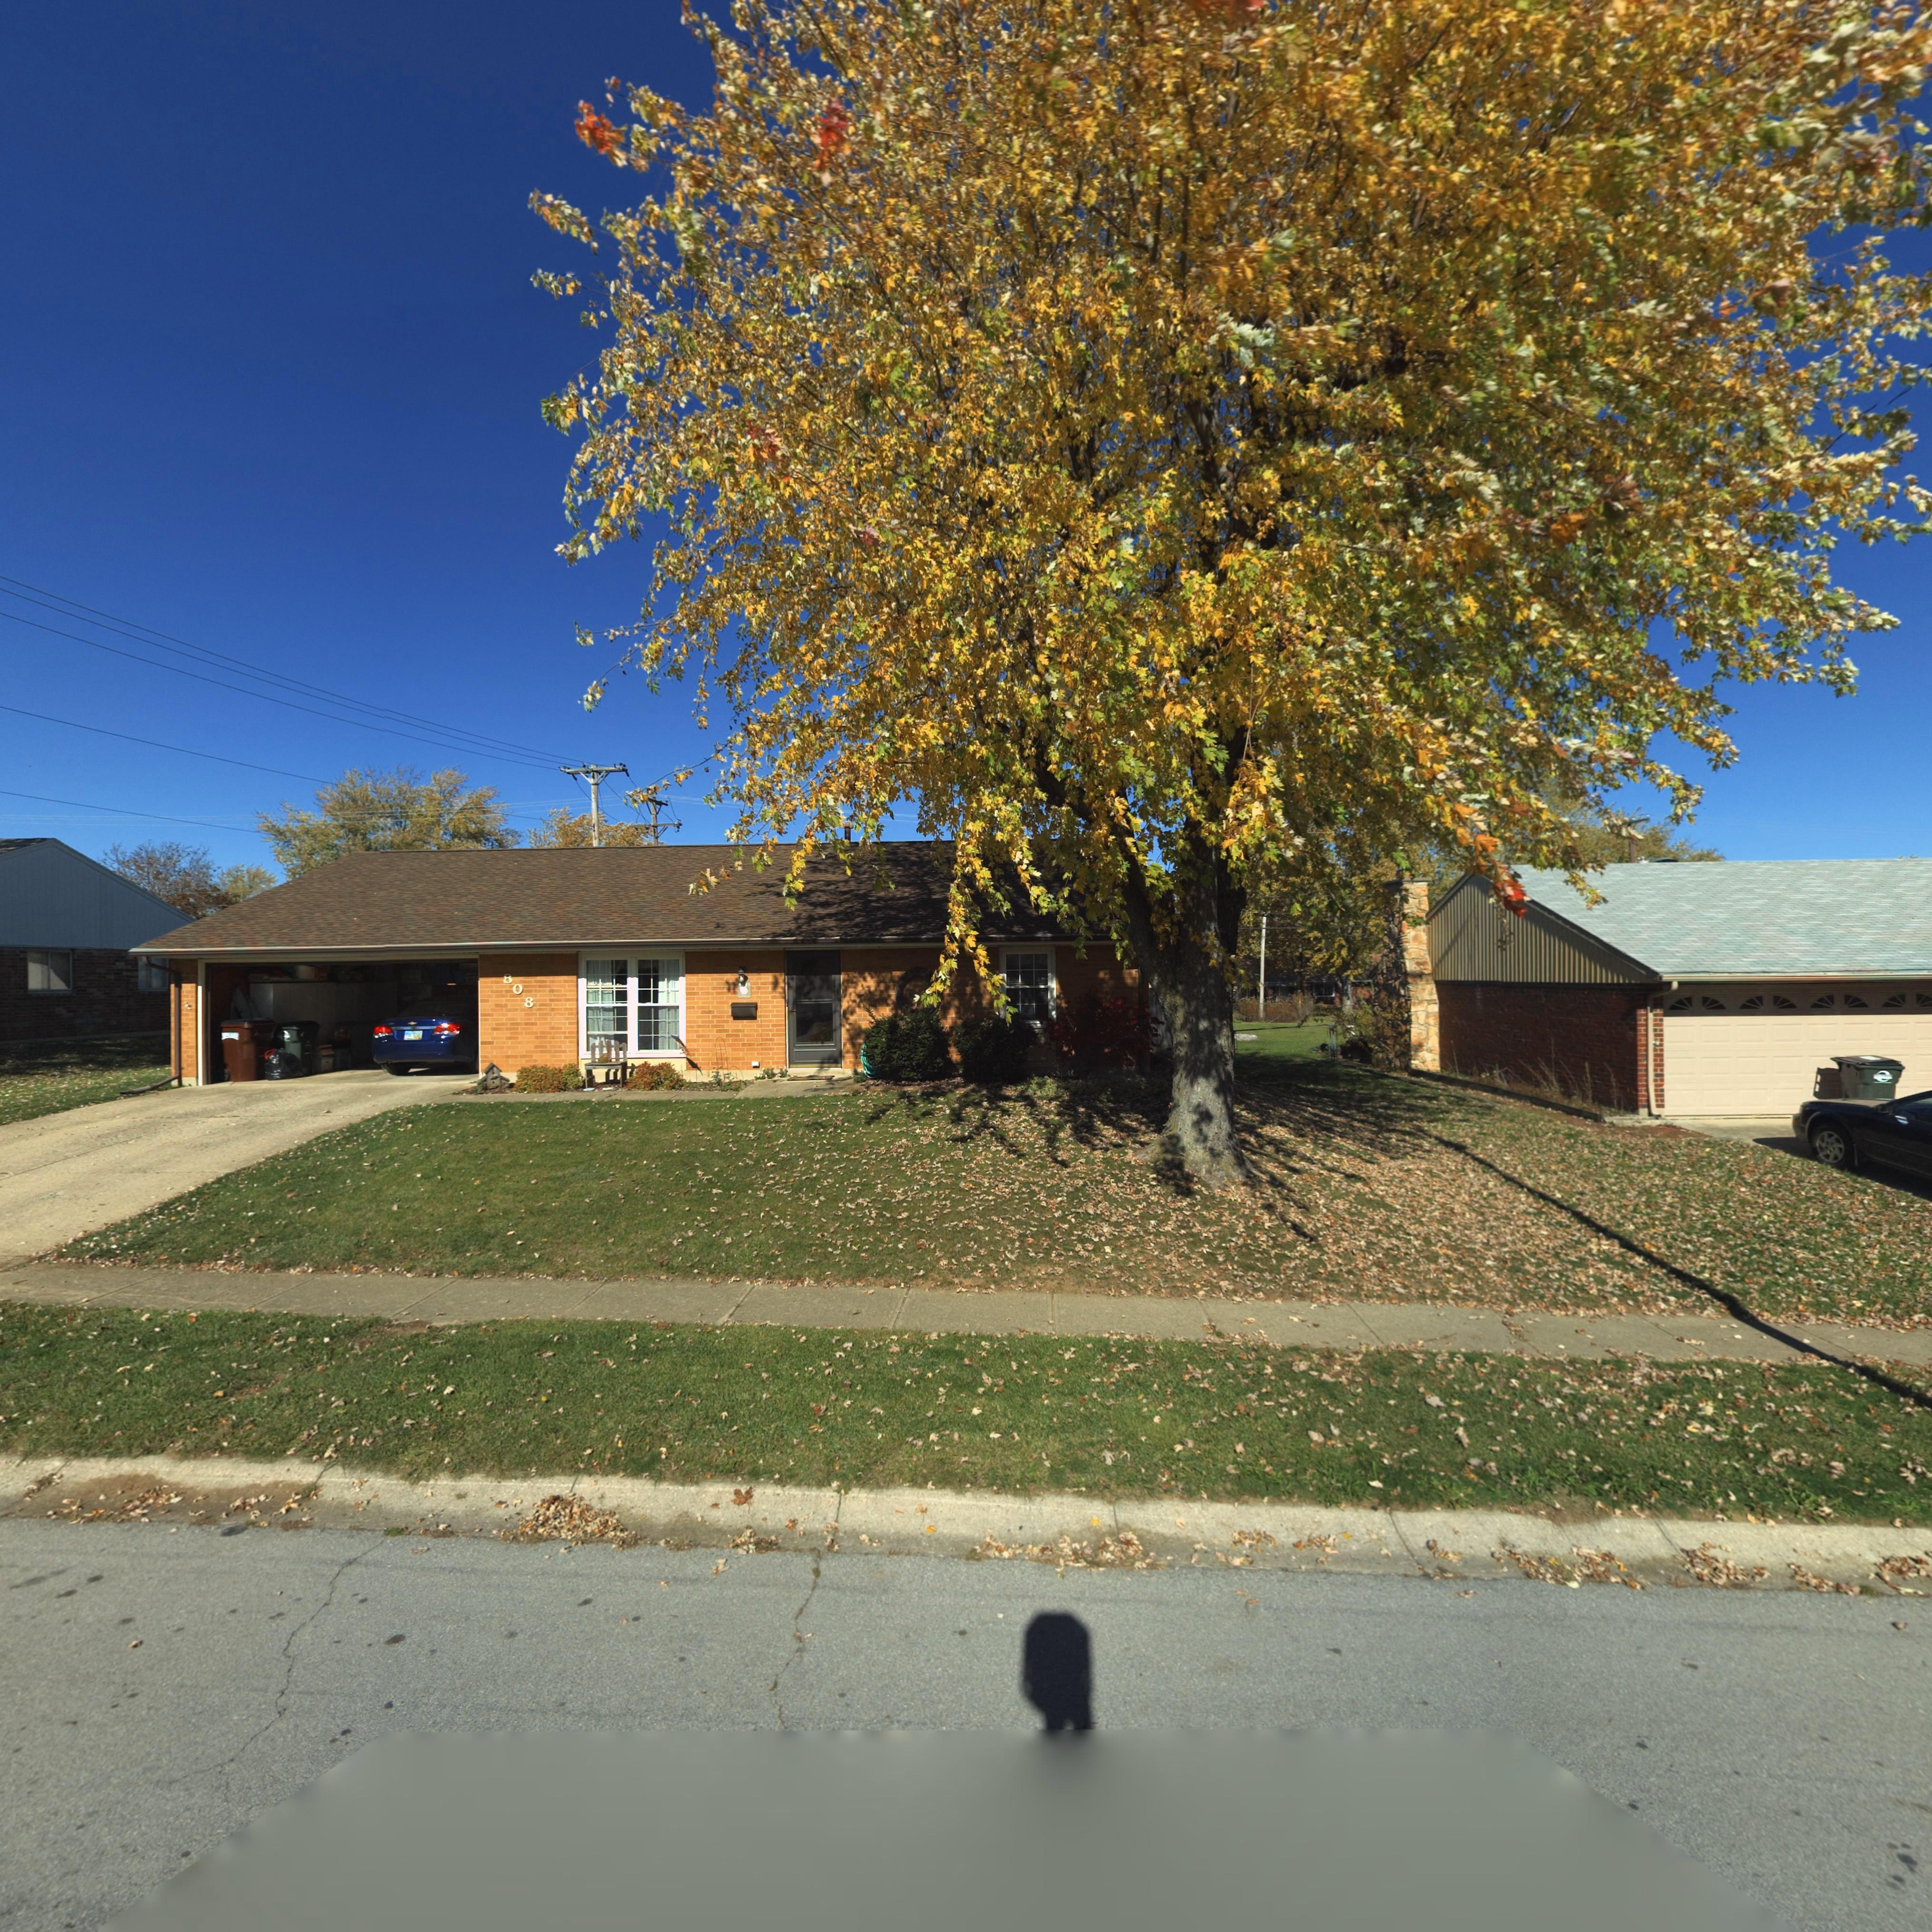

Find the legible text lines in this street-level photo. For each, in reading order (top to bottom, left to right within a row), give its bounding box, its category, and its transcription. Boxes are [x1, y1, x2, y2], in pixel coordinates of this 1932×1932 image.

[502, 973, 533, 1008] StreetNumber: 808